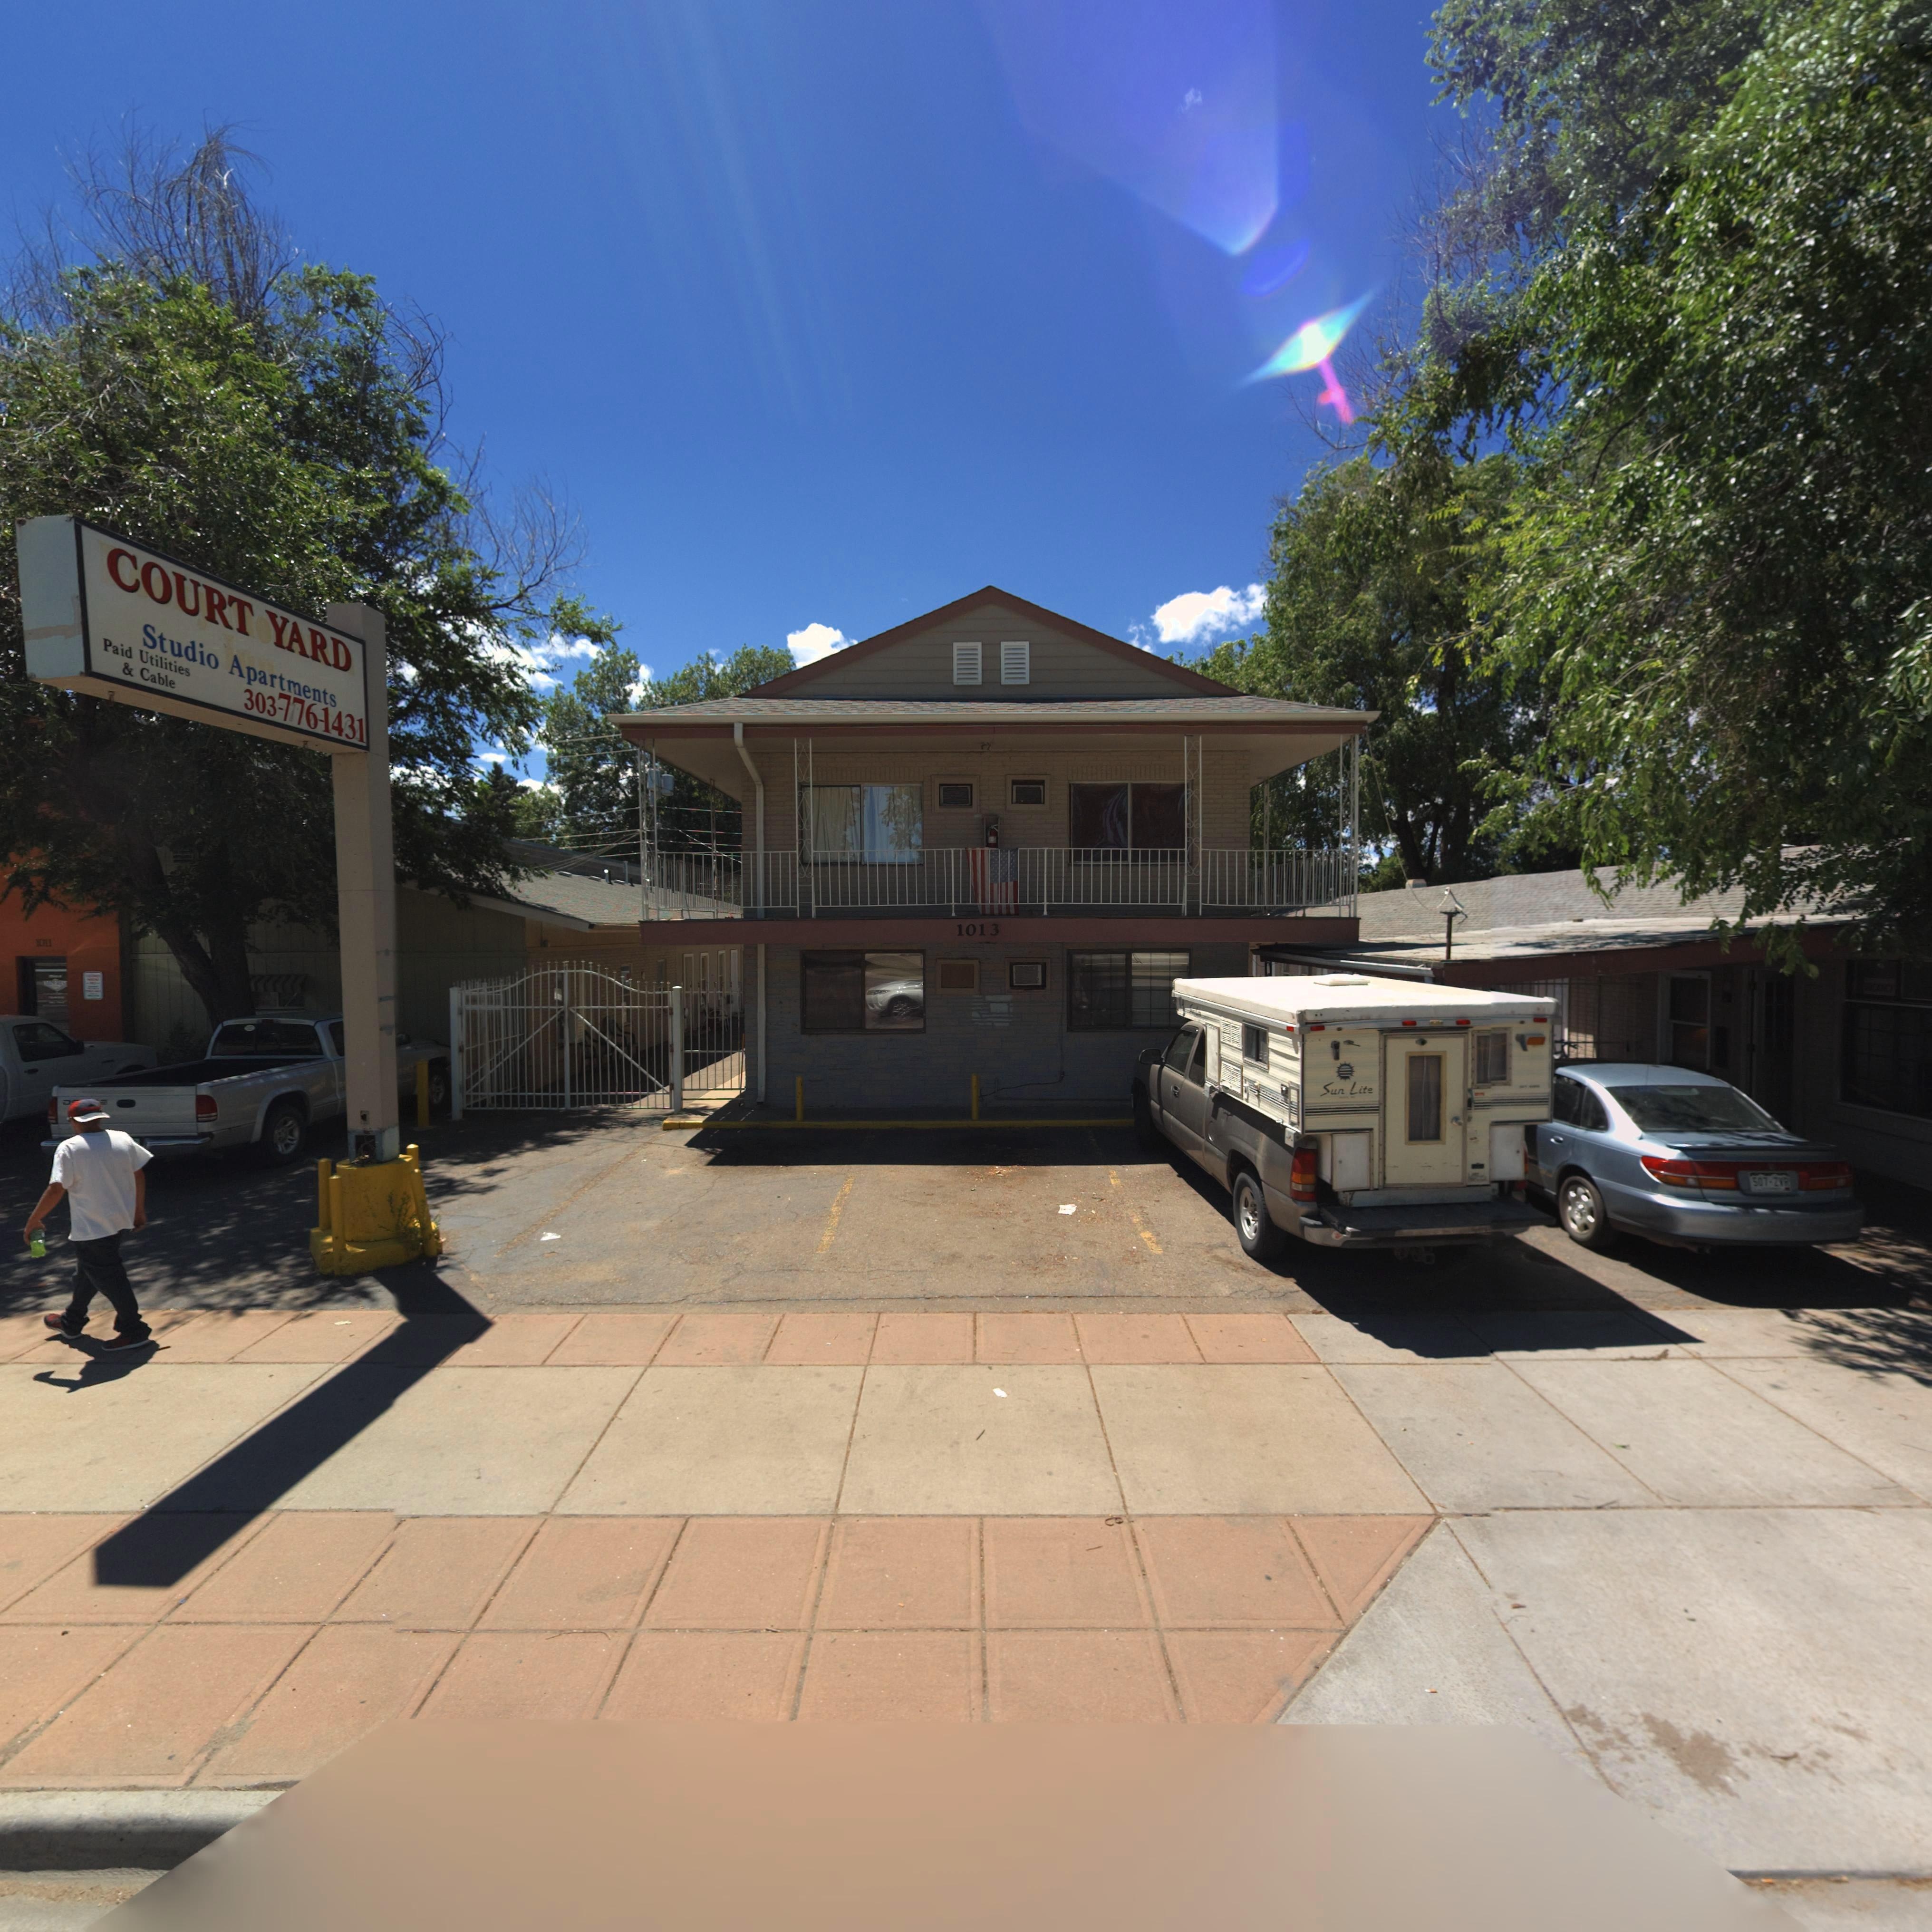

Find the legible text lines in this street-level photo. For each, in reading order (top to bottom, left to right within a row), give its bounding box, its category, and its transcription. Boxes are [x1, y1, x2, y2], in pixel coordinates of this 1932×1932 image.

[106, 547, 352, 672] BusinessName: COURT YARD
[142, 623, 337, 707] BusinessName: Studio Apartments
[35, 938, 52, 947] StreetNumber: 1011
[956, 923, 1000, 936] StreetNumber: 1013